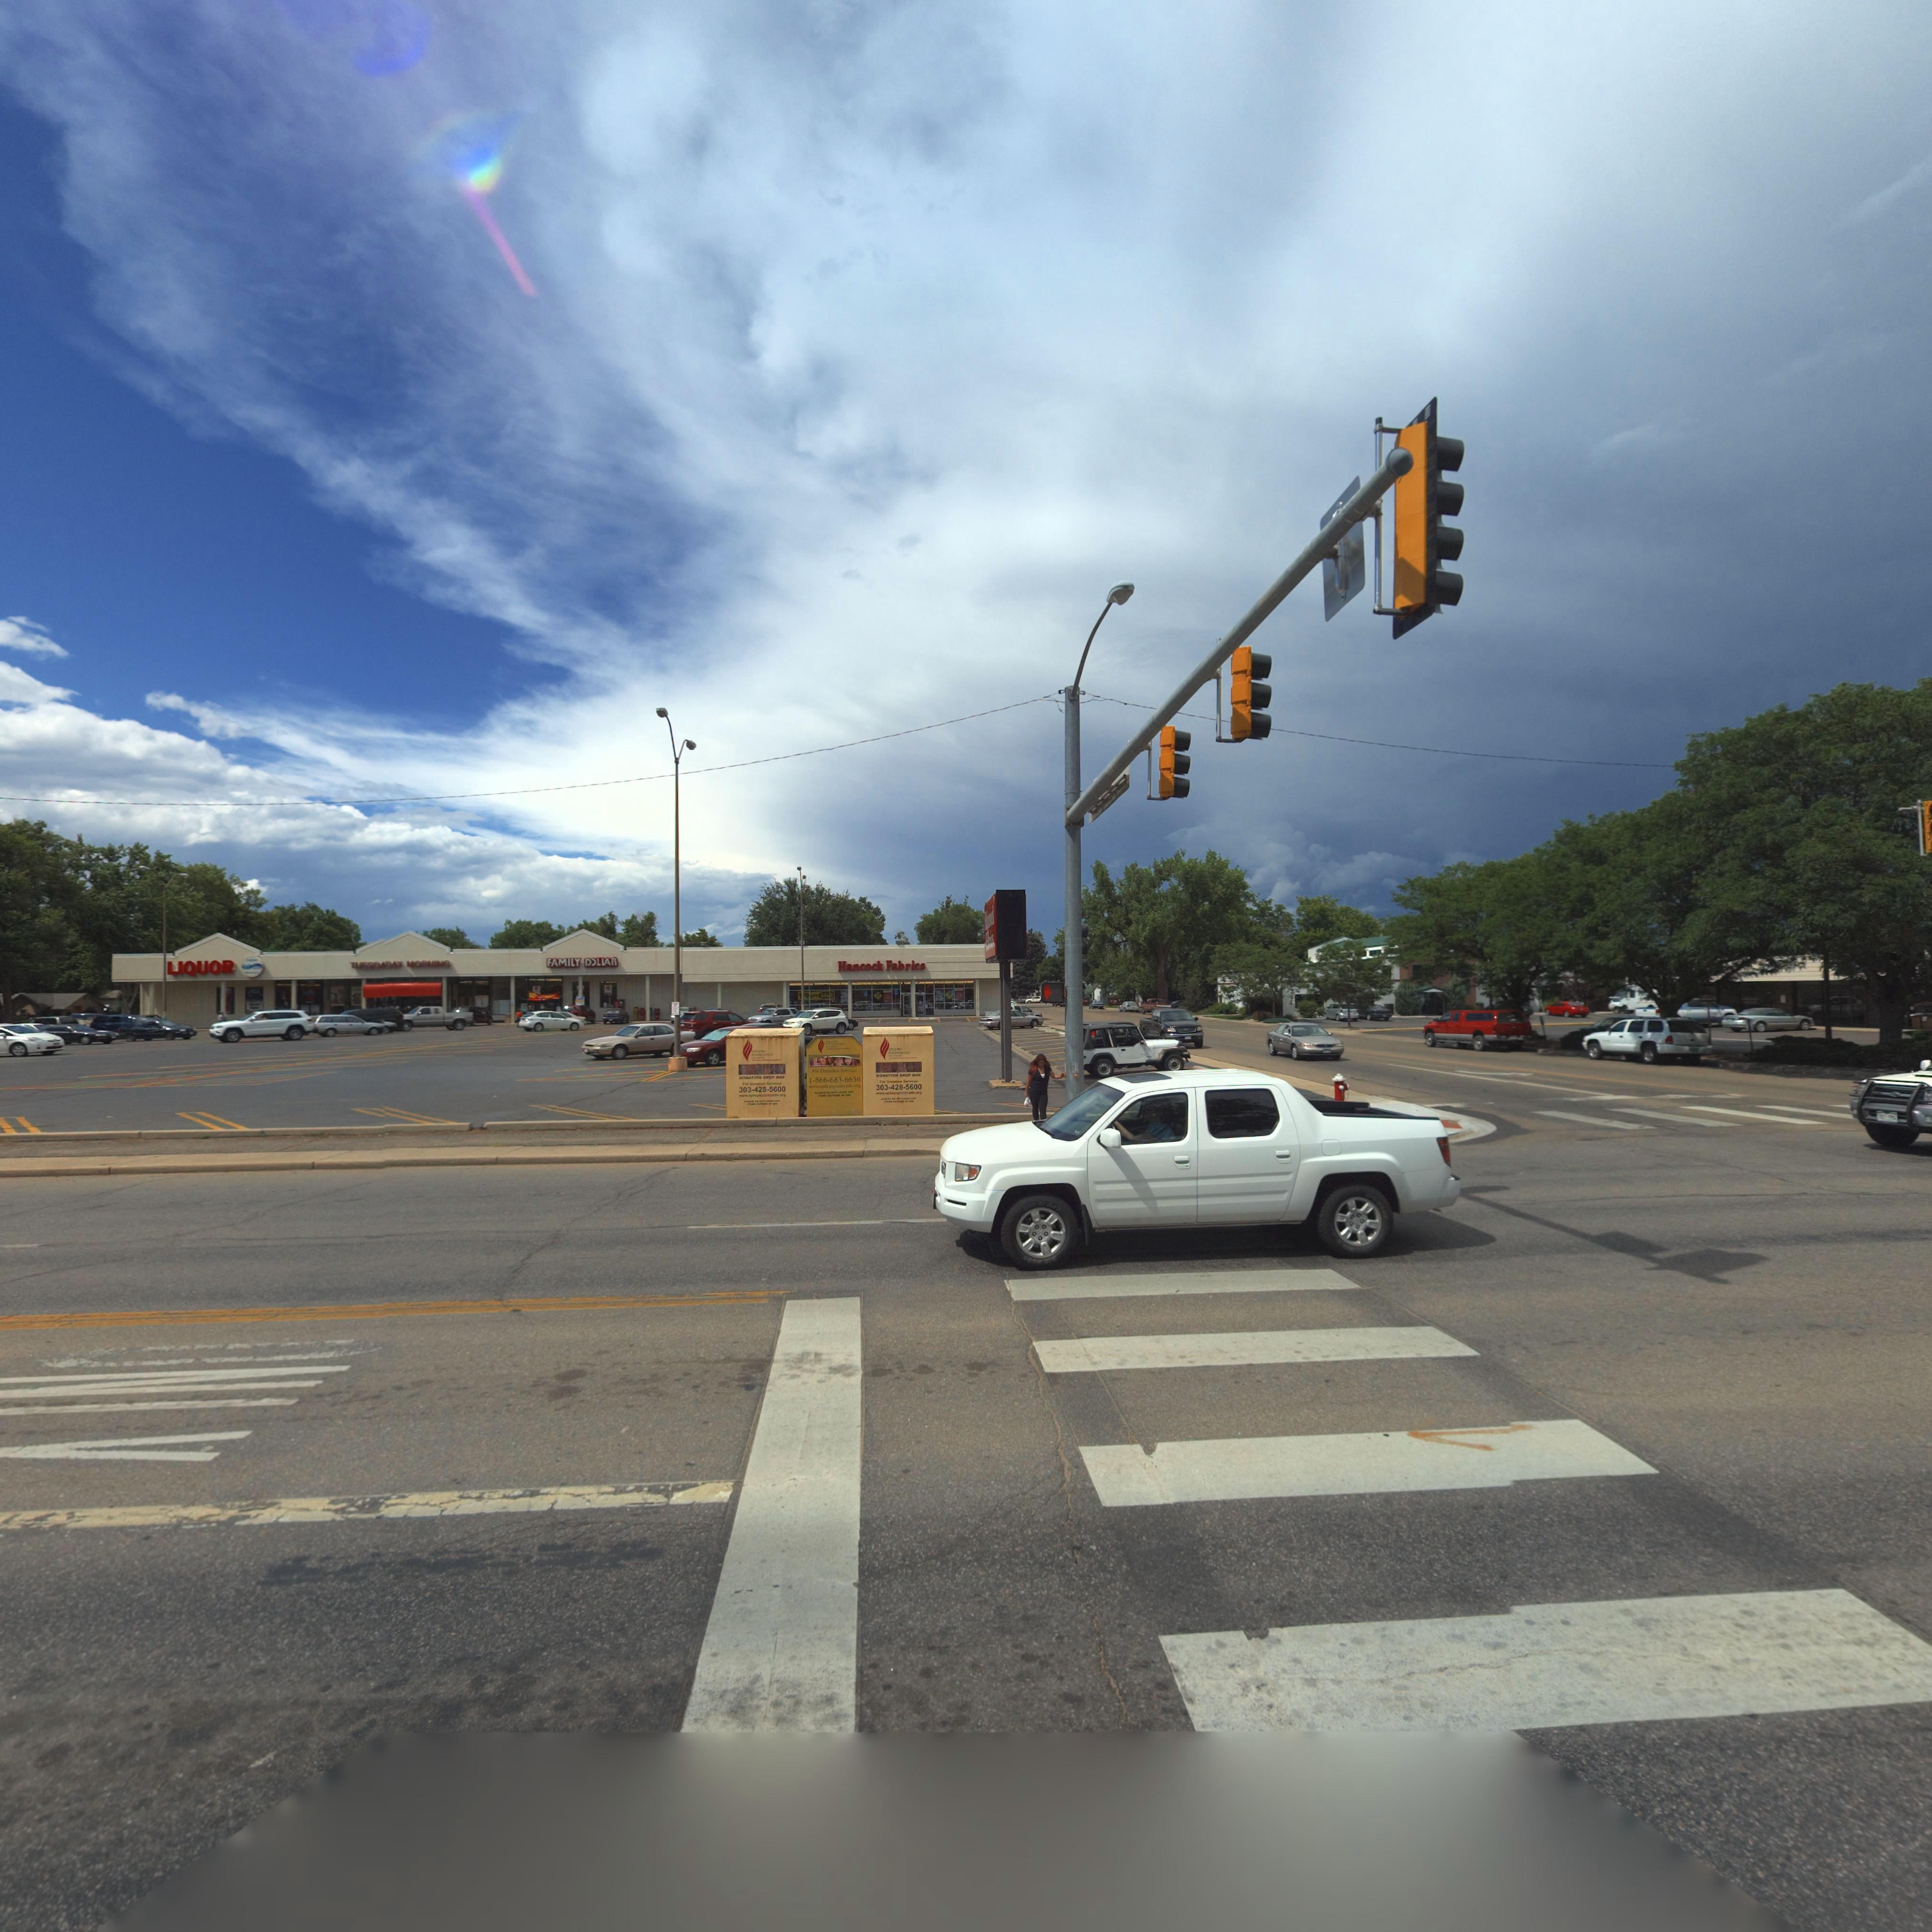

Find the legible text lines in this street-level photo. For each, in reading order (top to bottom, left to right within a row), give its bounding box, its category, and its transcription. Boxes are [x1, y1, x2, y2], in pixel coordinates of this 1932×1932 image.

[349, 960, 449, 968] BusinessName: TUESDAY MORNING
[547, 957, 617, 966] BusinessName: FAMILY DOLLAR
[838, 960, 925, 972] BusinessName: Hancock Fabrics